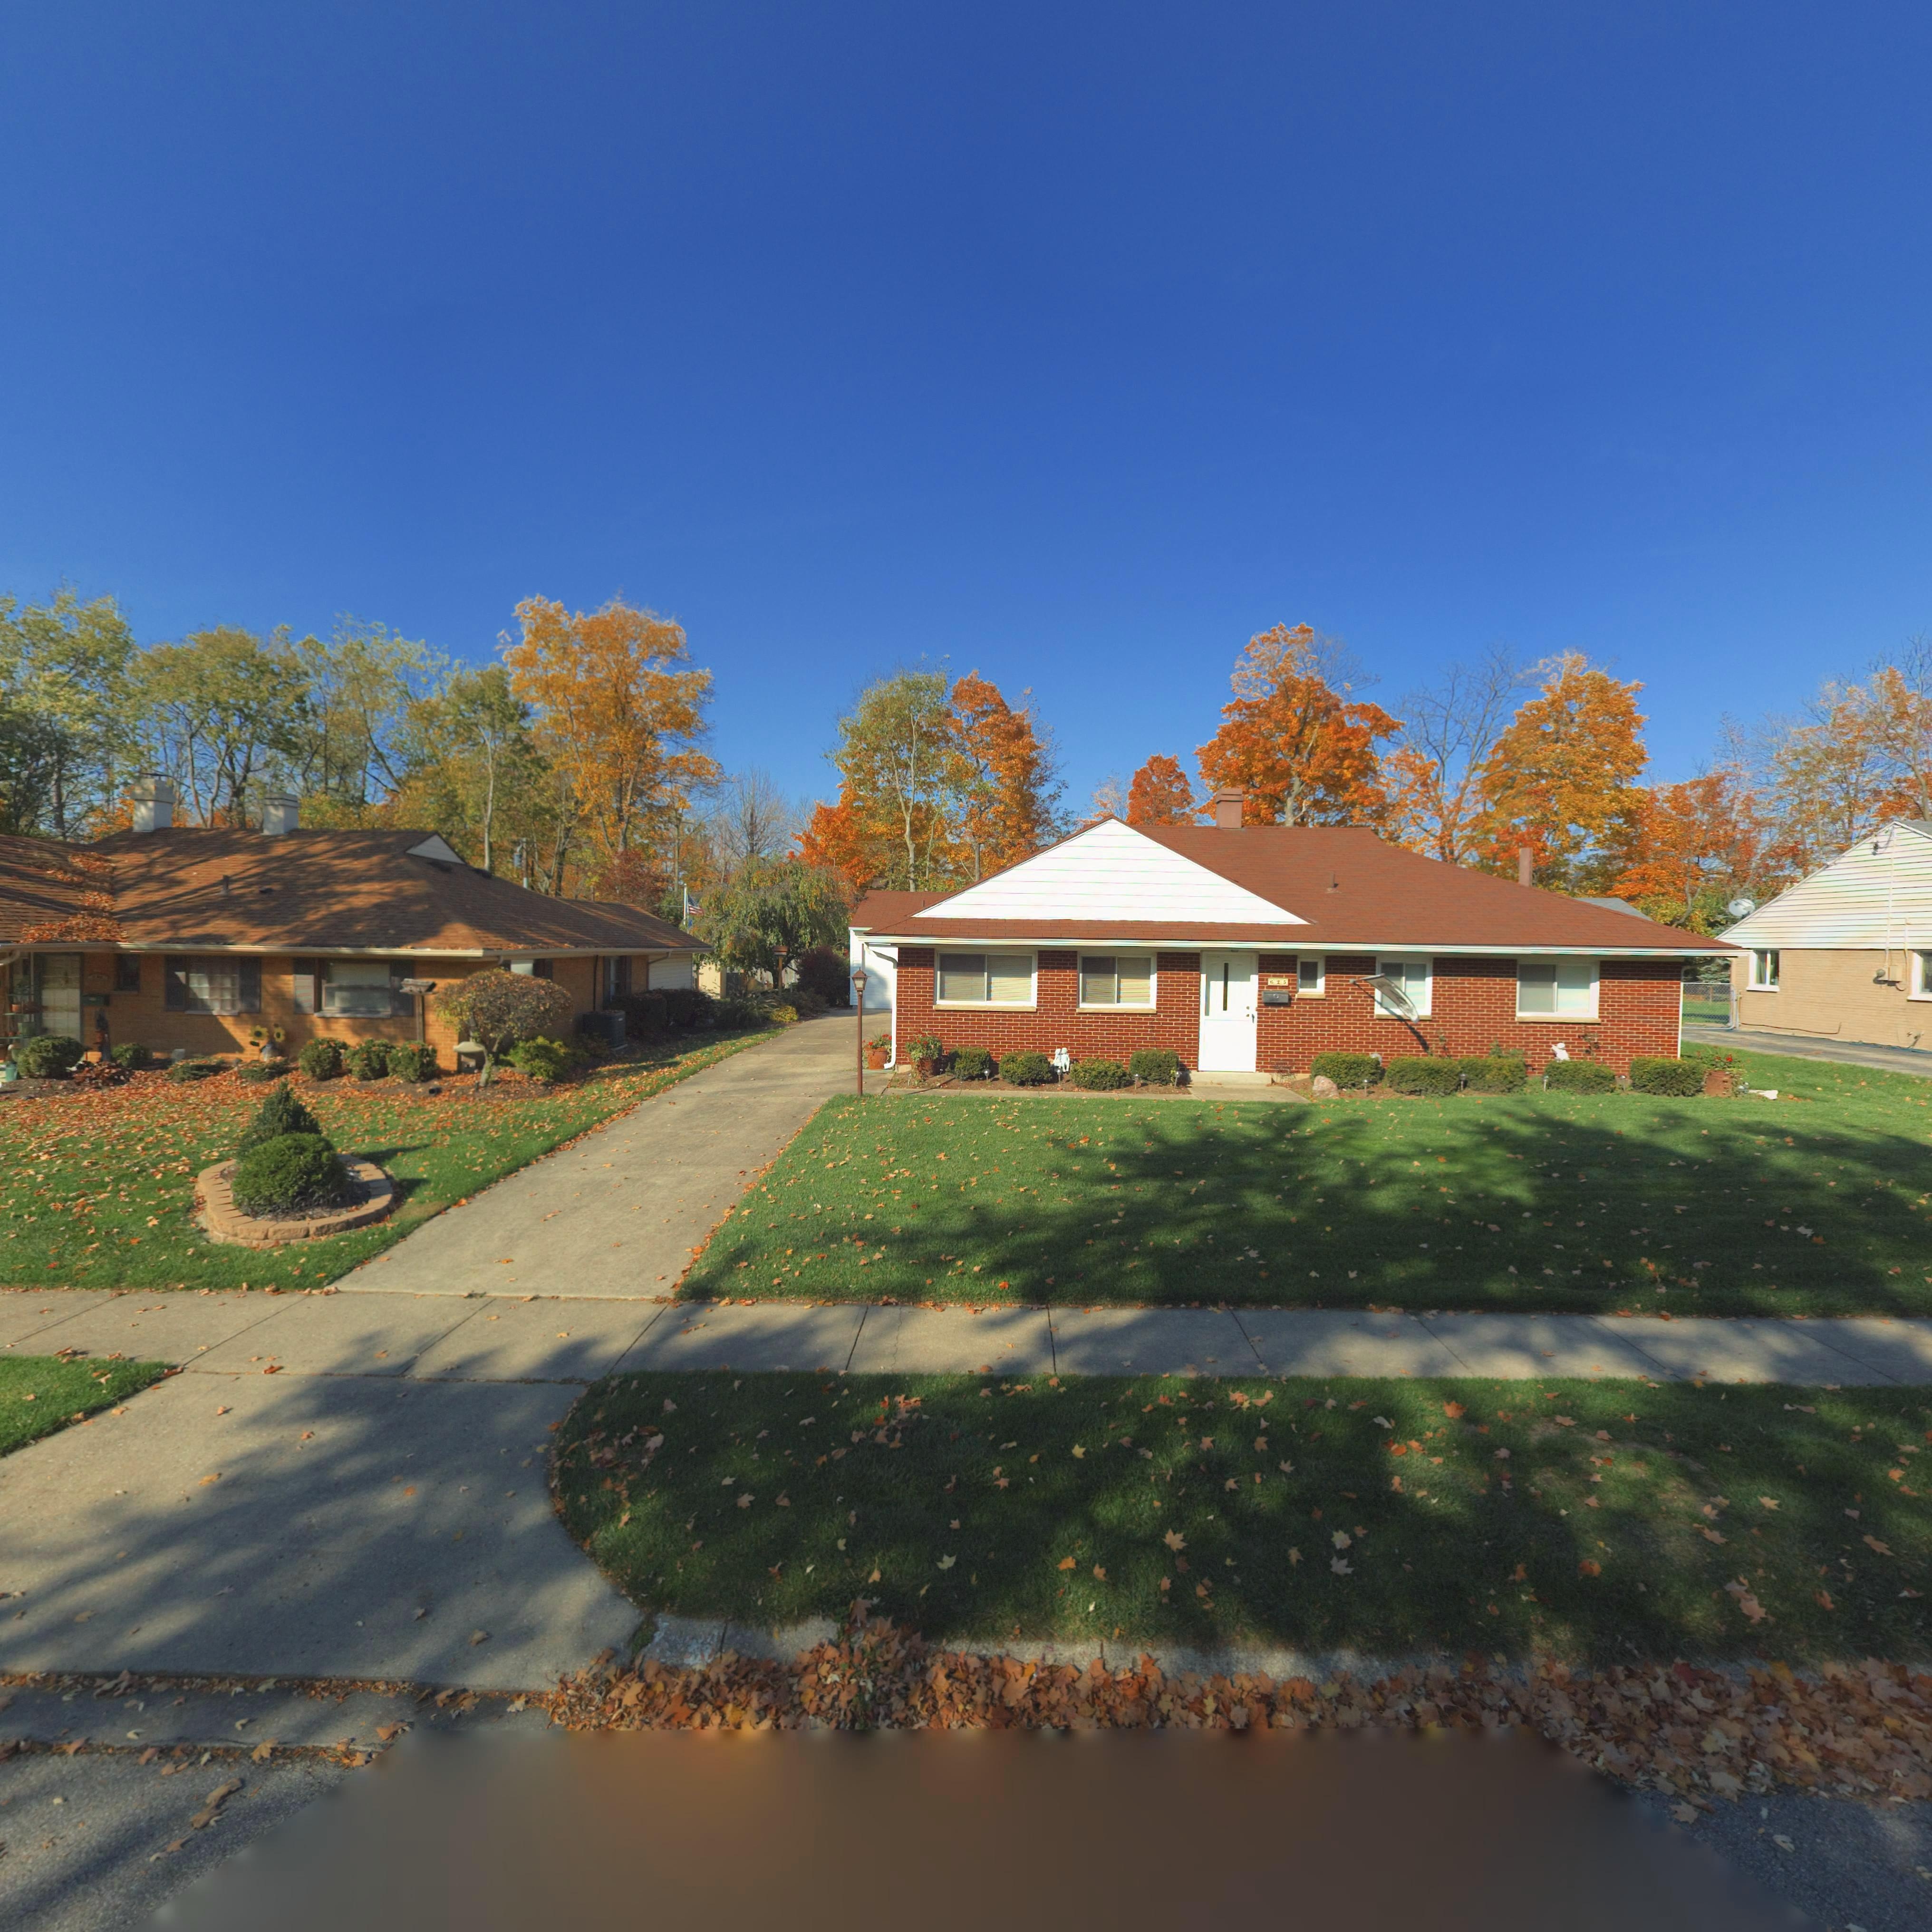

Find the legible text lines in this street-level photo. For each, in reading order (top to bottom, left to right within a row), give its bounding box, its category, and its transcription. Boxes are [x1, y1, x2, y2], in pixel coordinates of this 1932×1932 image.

[1269, 979, 1287, 985] StreetNumber: 625